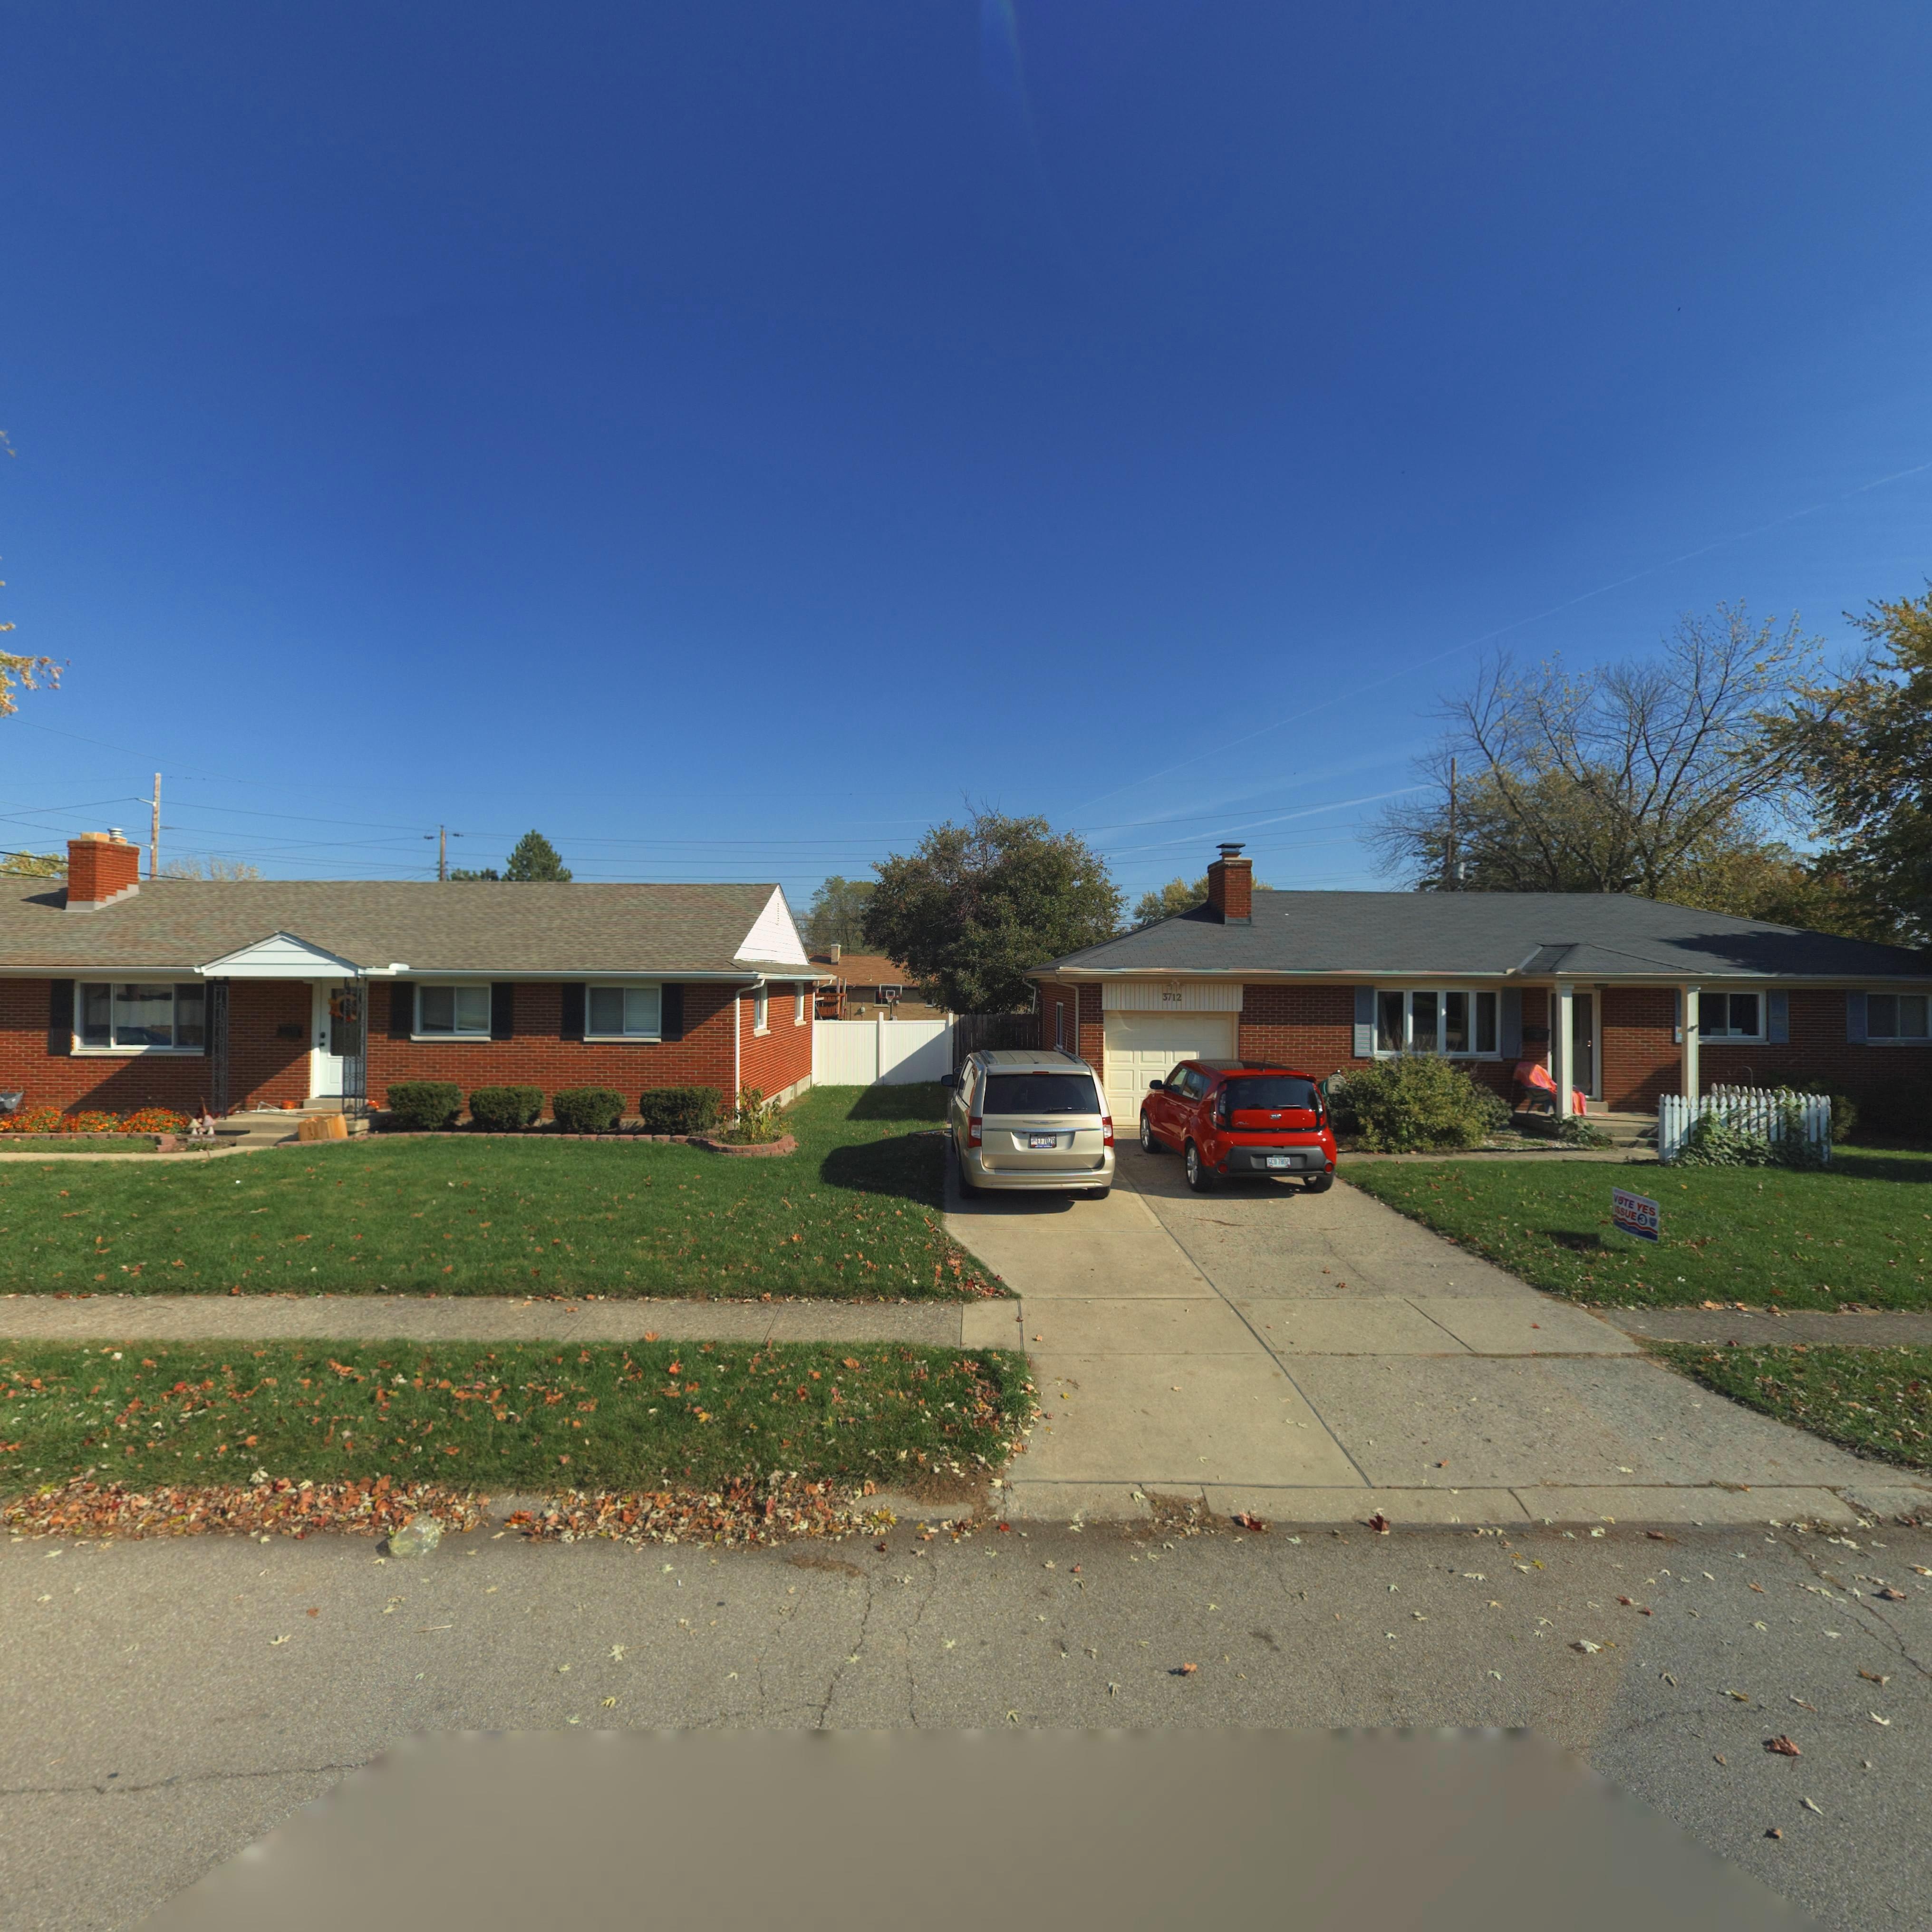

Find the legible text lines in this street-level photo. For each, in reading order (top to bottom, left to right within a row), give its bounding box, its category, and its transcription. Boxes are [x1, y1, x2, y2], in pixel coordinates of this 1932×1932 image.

[1161, 992, 1183, 1002] StreetNumber: 3712